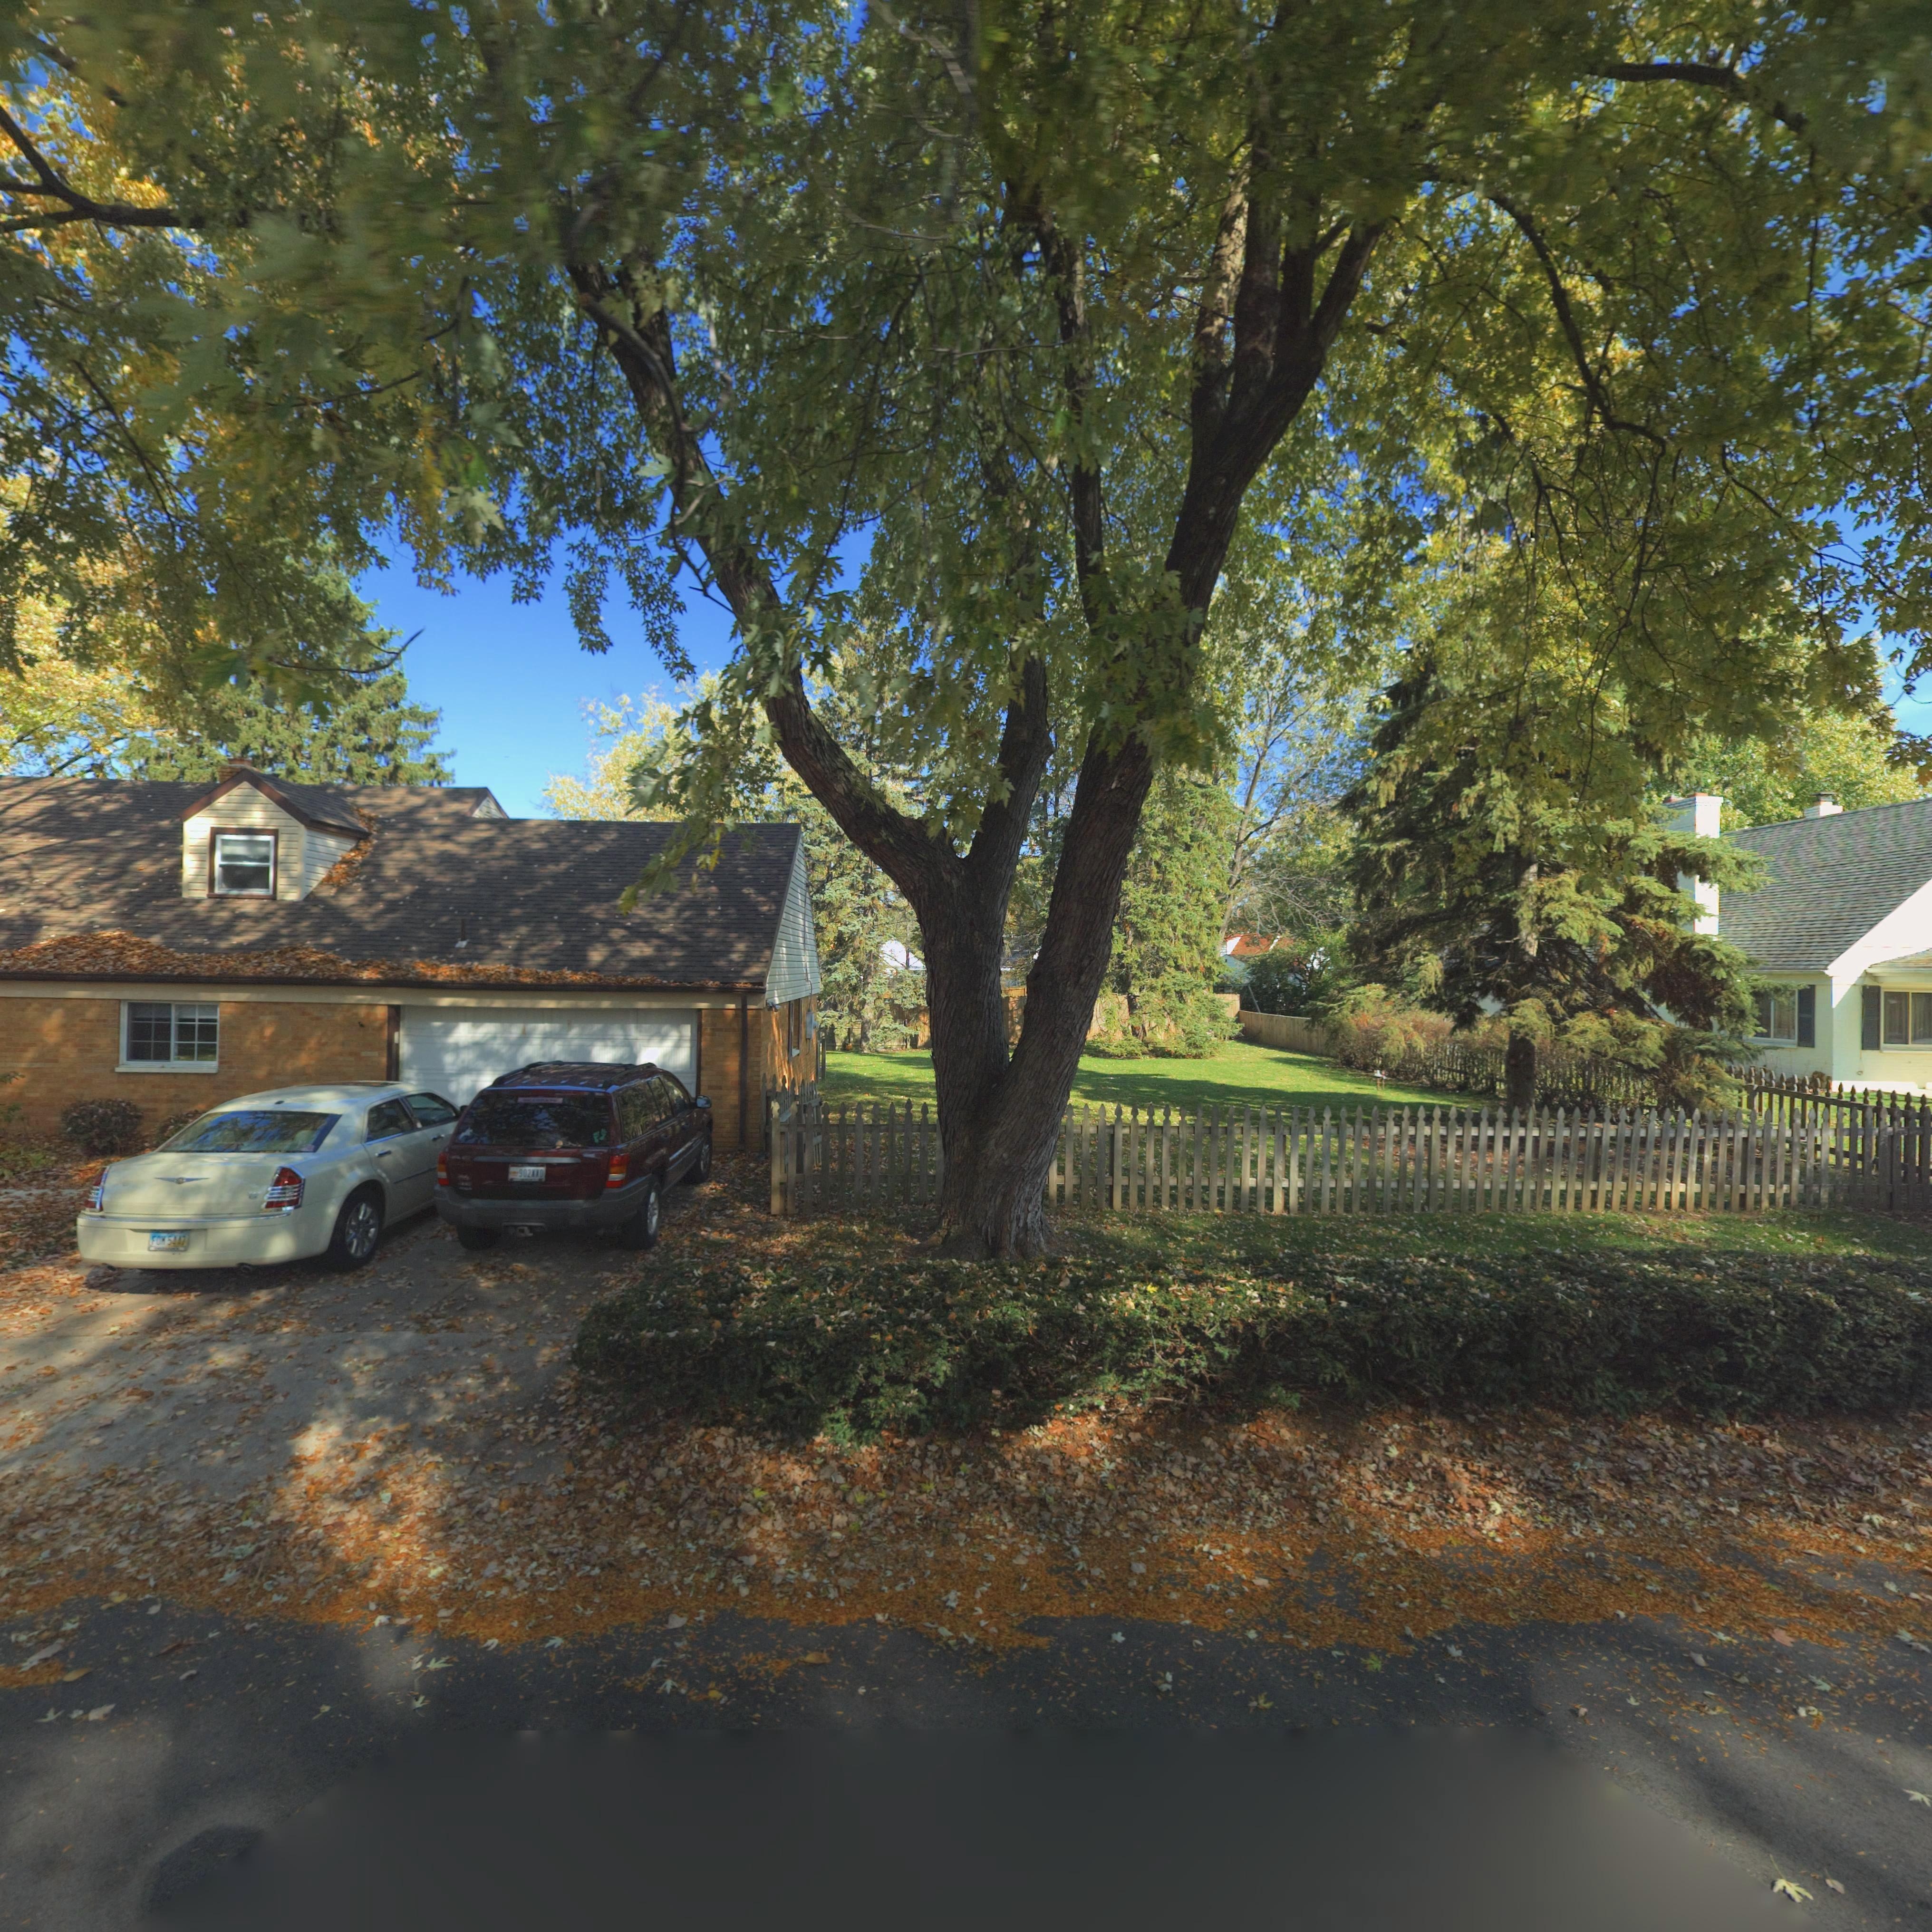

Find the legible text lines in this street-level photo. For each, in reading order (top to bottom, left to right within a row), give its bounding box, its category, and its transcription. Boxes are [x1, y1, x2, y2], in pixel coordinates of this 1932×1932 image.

[518, 1168, 545, 1179] None: 902XXD
[150, 1234, 188, 1247] None: FOM 5447